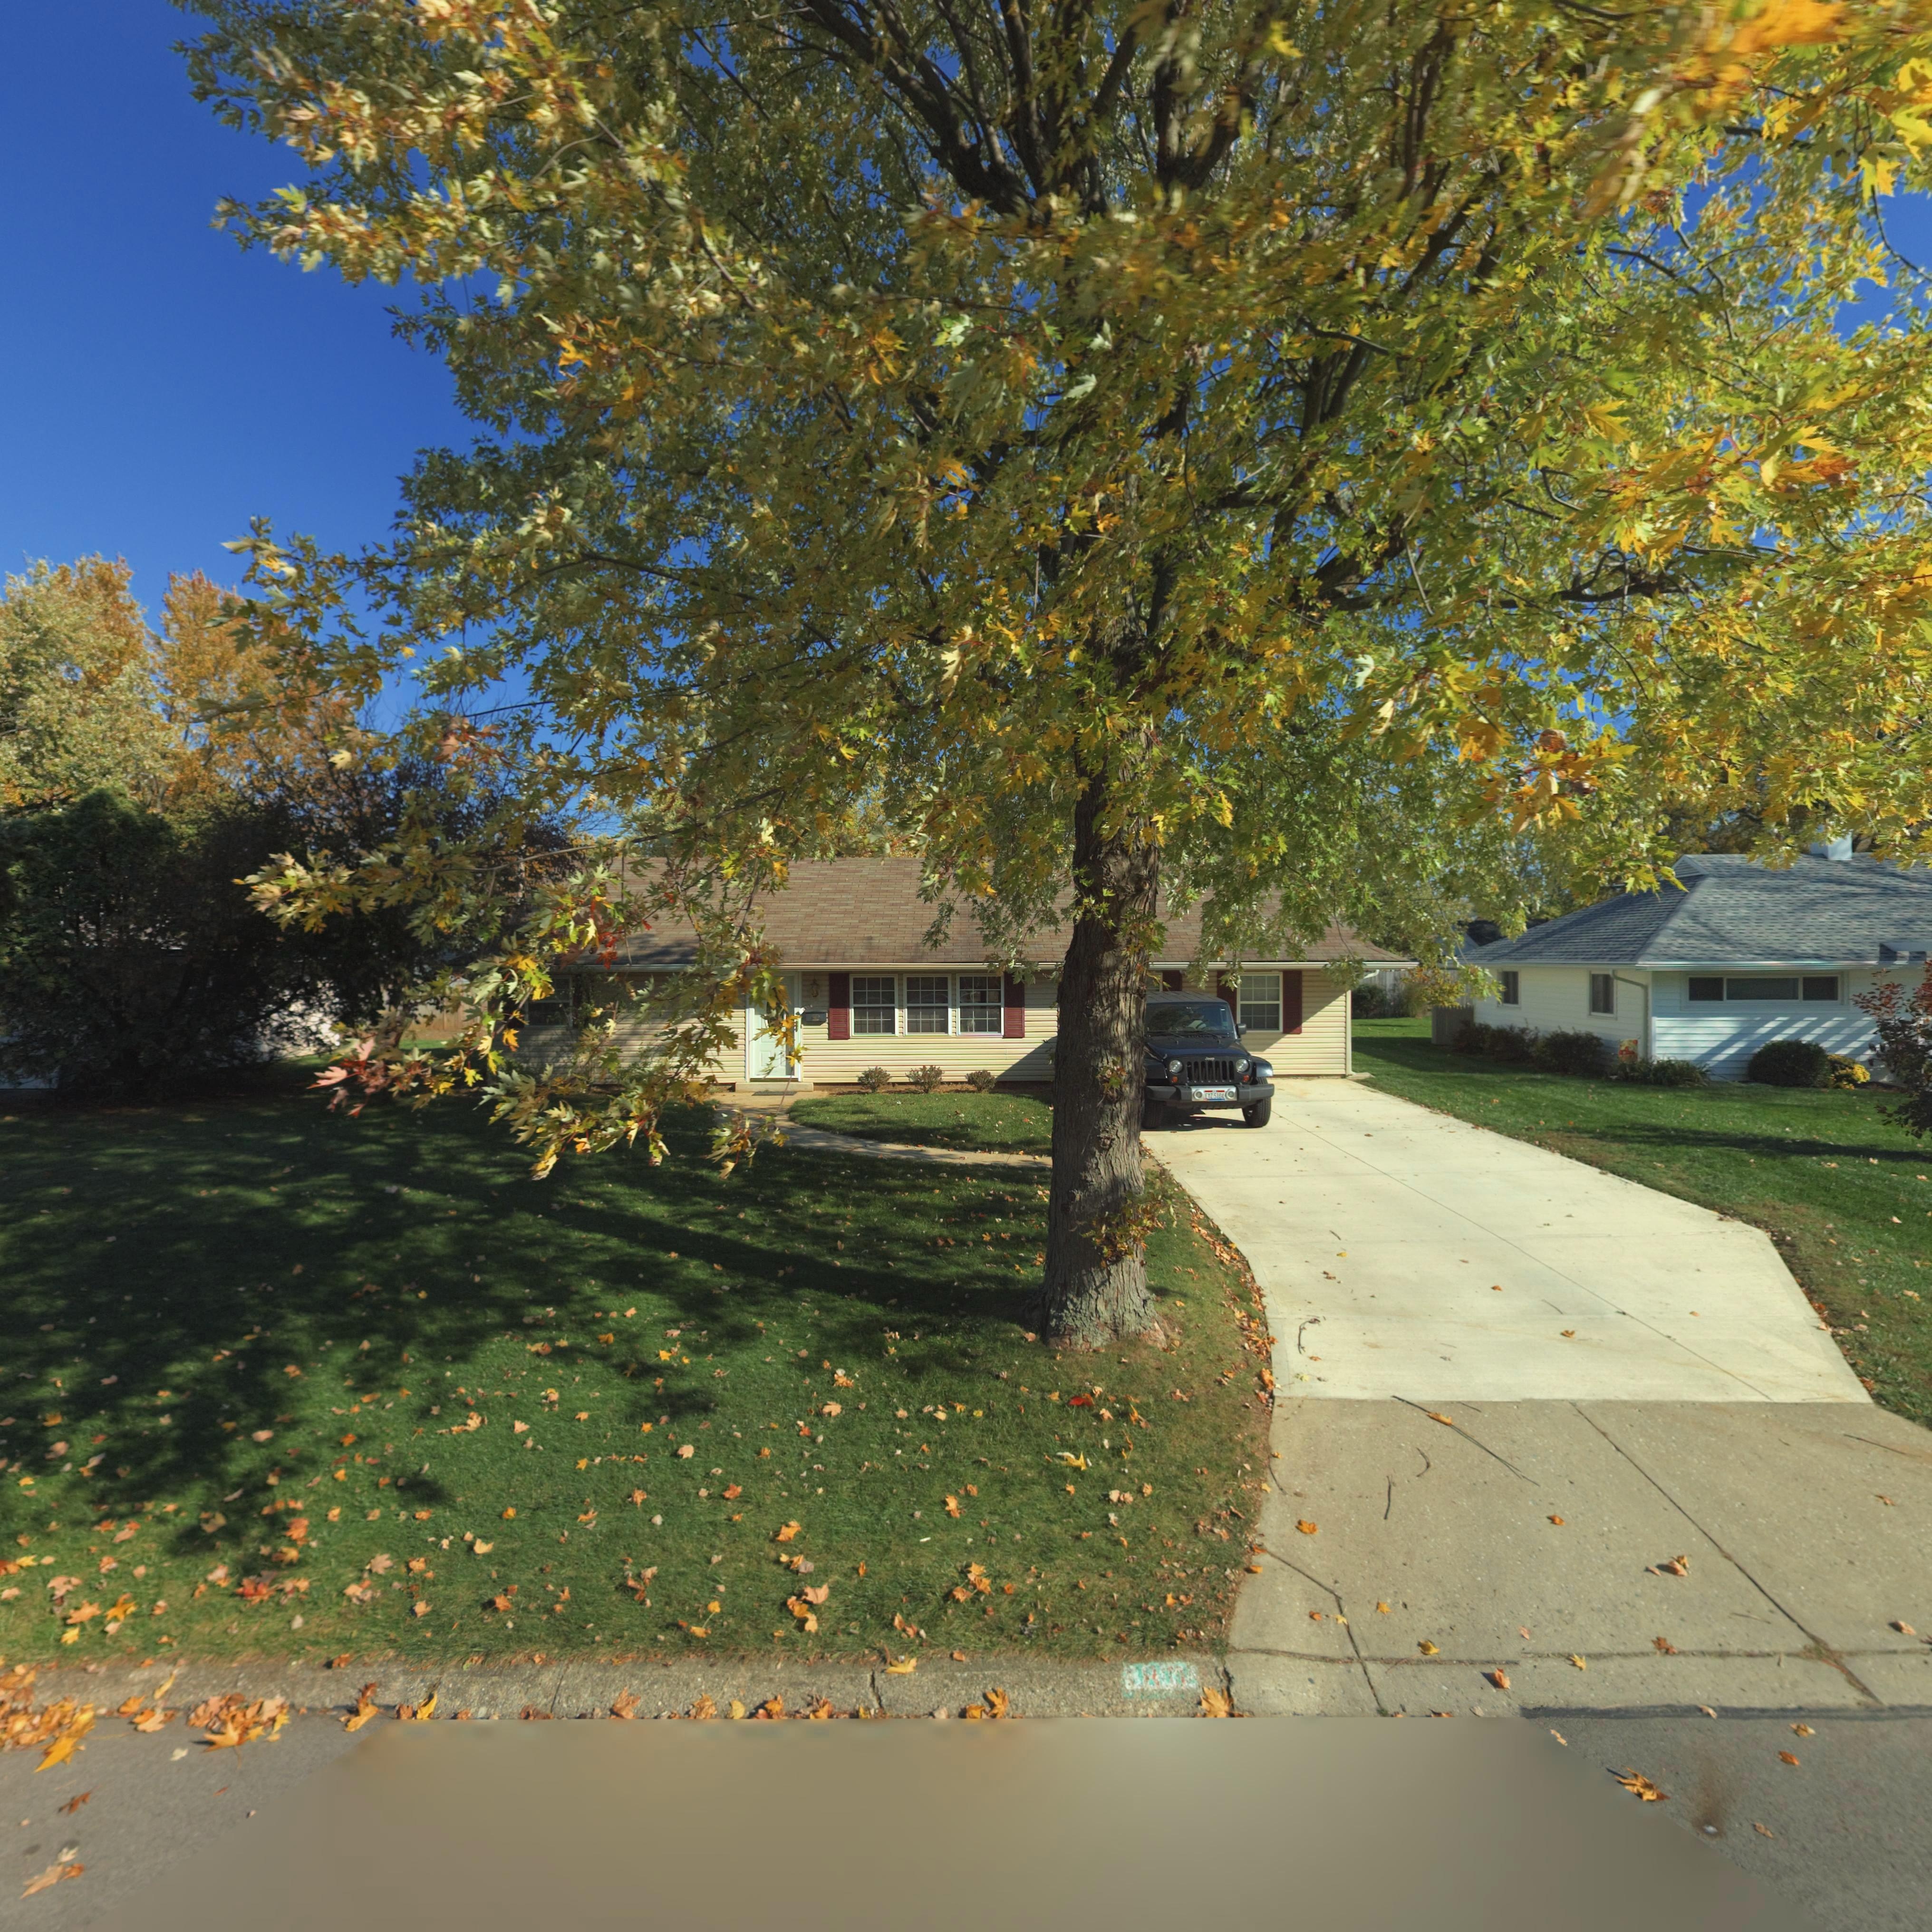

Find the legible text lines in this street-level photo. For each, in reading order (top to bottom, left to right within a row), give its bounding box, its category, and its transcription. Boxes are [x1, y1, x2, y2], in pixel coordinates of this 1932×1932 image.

[1204, 1092, 1225, 1100] None: EYZ 5164